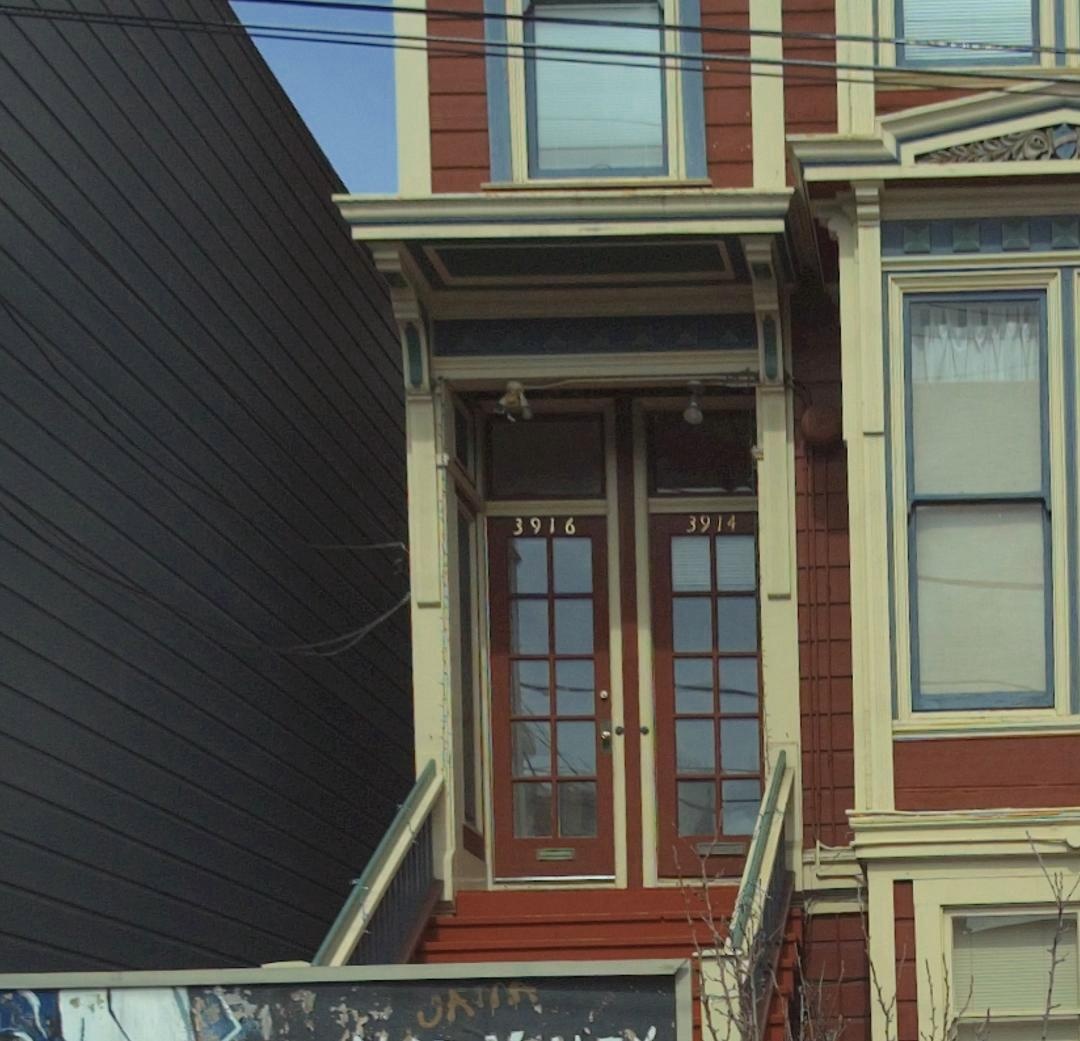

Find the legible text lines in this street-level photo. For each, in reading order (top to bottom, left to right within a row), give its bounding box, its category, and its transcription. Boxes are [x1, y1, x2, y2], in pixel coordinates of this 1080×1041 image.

[511, 515, 578, 537] StreetNumber: 3916
[683, 513, 738, 535] StreetNumber: 3914
[412, 974, 544, 1032] None: JA**A